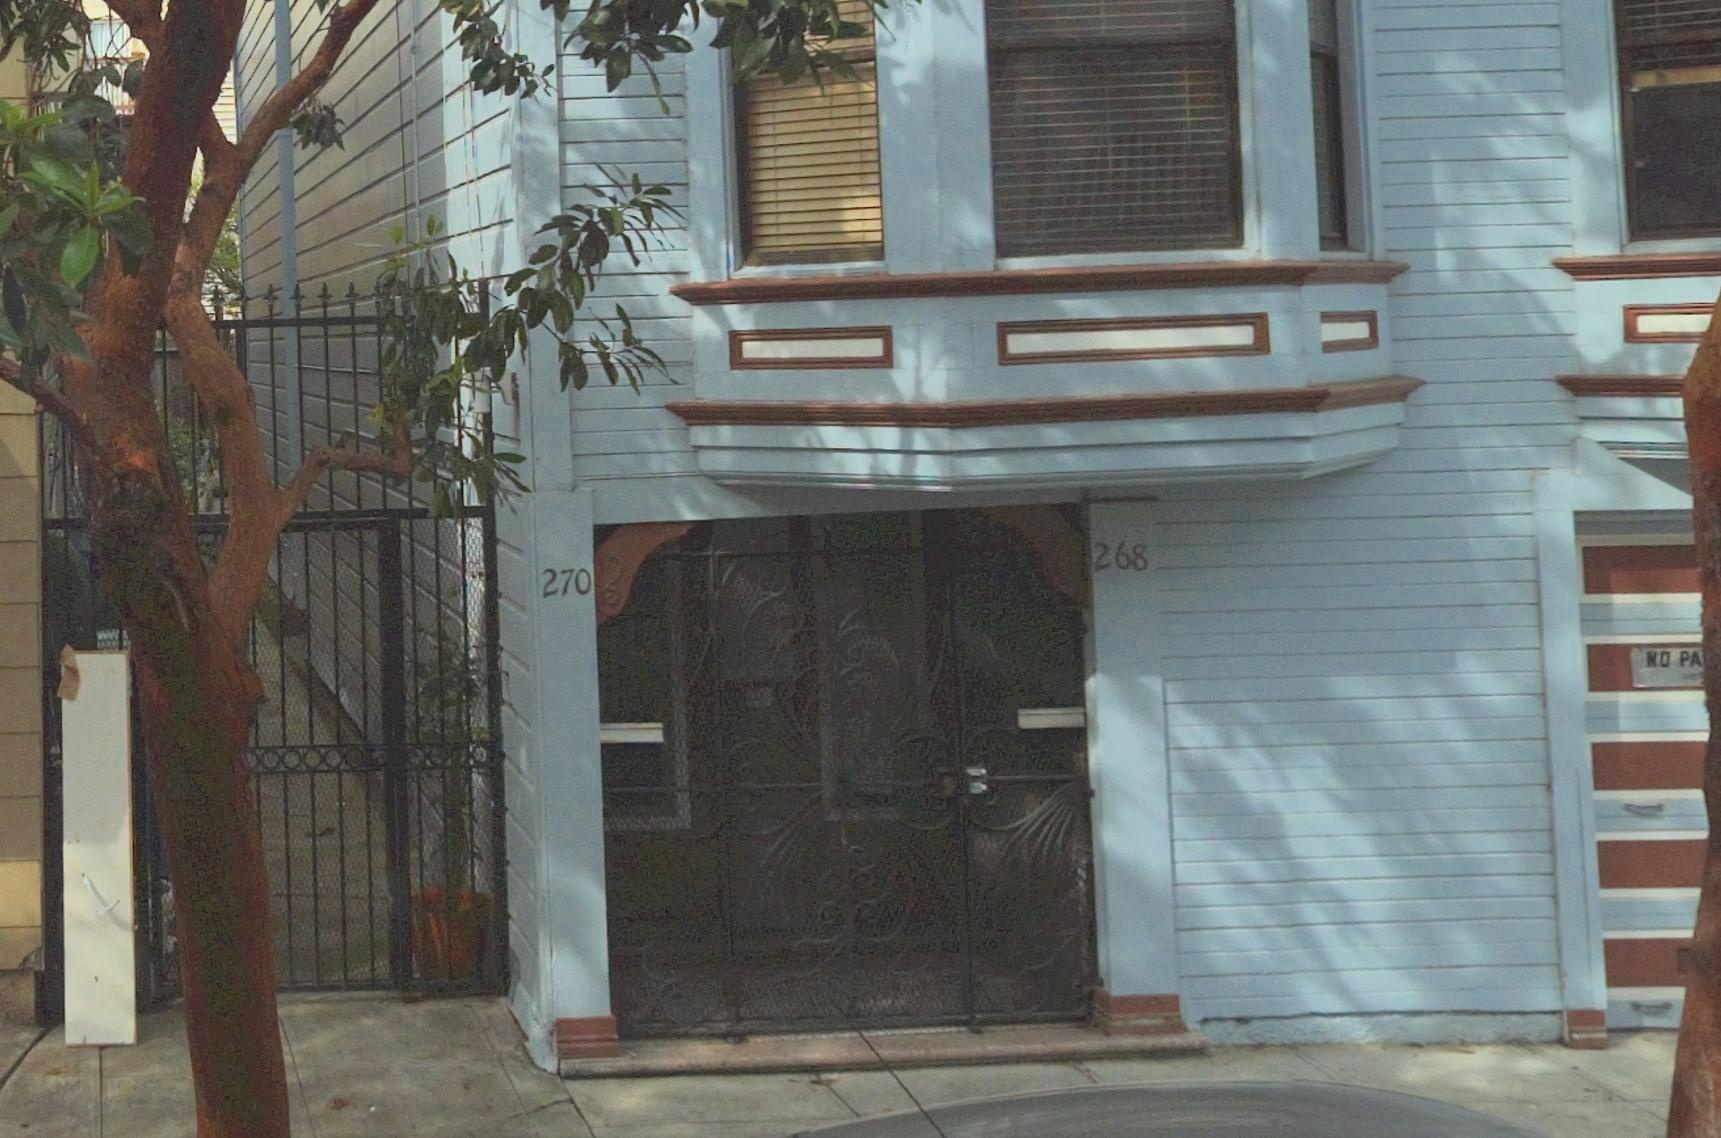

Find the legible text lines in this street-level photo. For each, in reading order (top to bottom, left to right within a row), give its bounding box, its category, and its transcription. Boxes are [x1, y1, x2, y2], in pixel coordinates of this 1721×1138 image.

[1093, 538, 1150, 573] StreetNumber: 268
[540, 566, 593, 600] StreetNumber: 270
[1644, 649, 1704, 669] None: NO PA